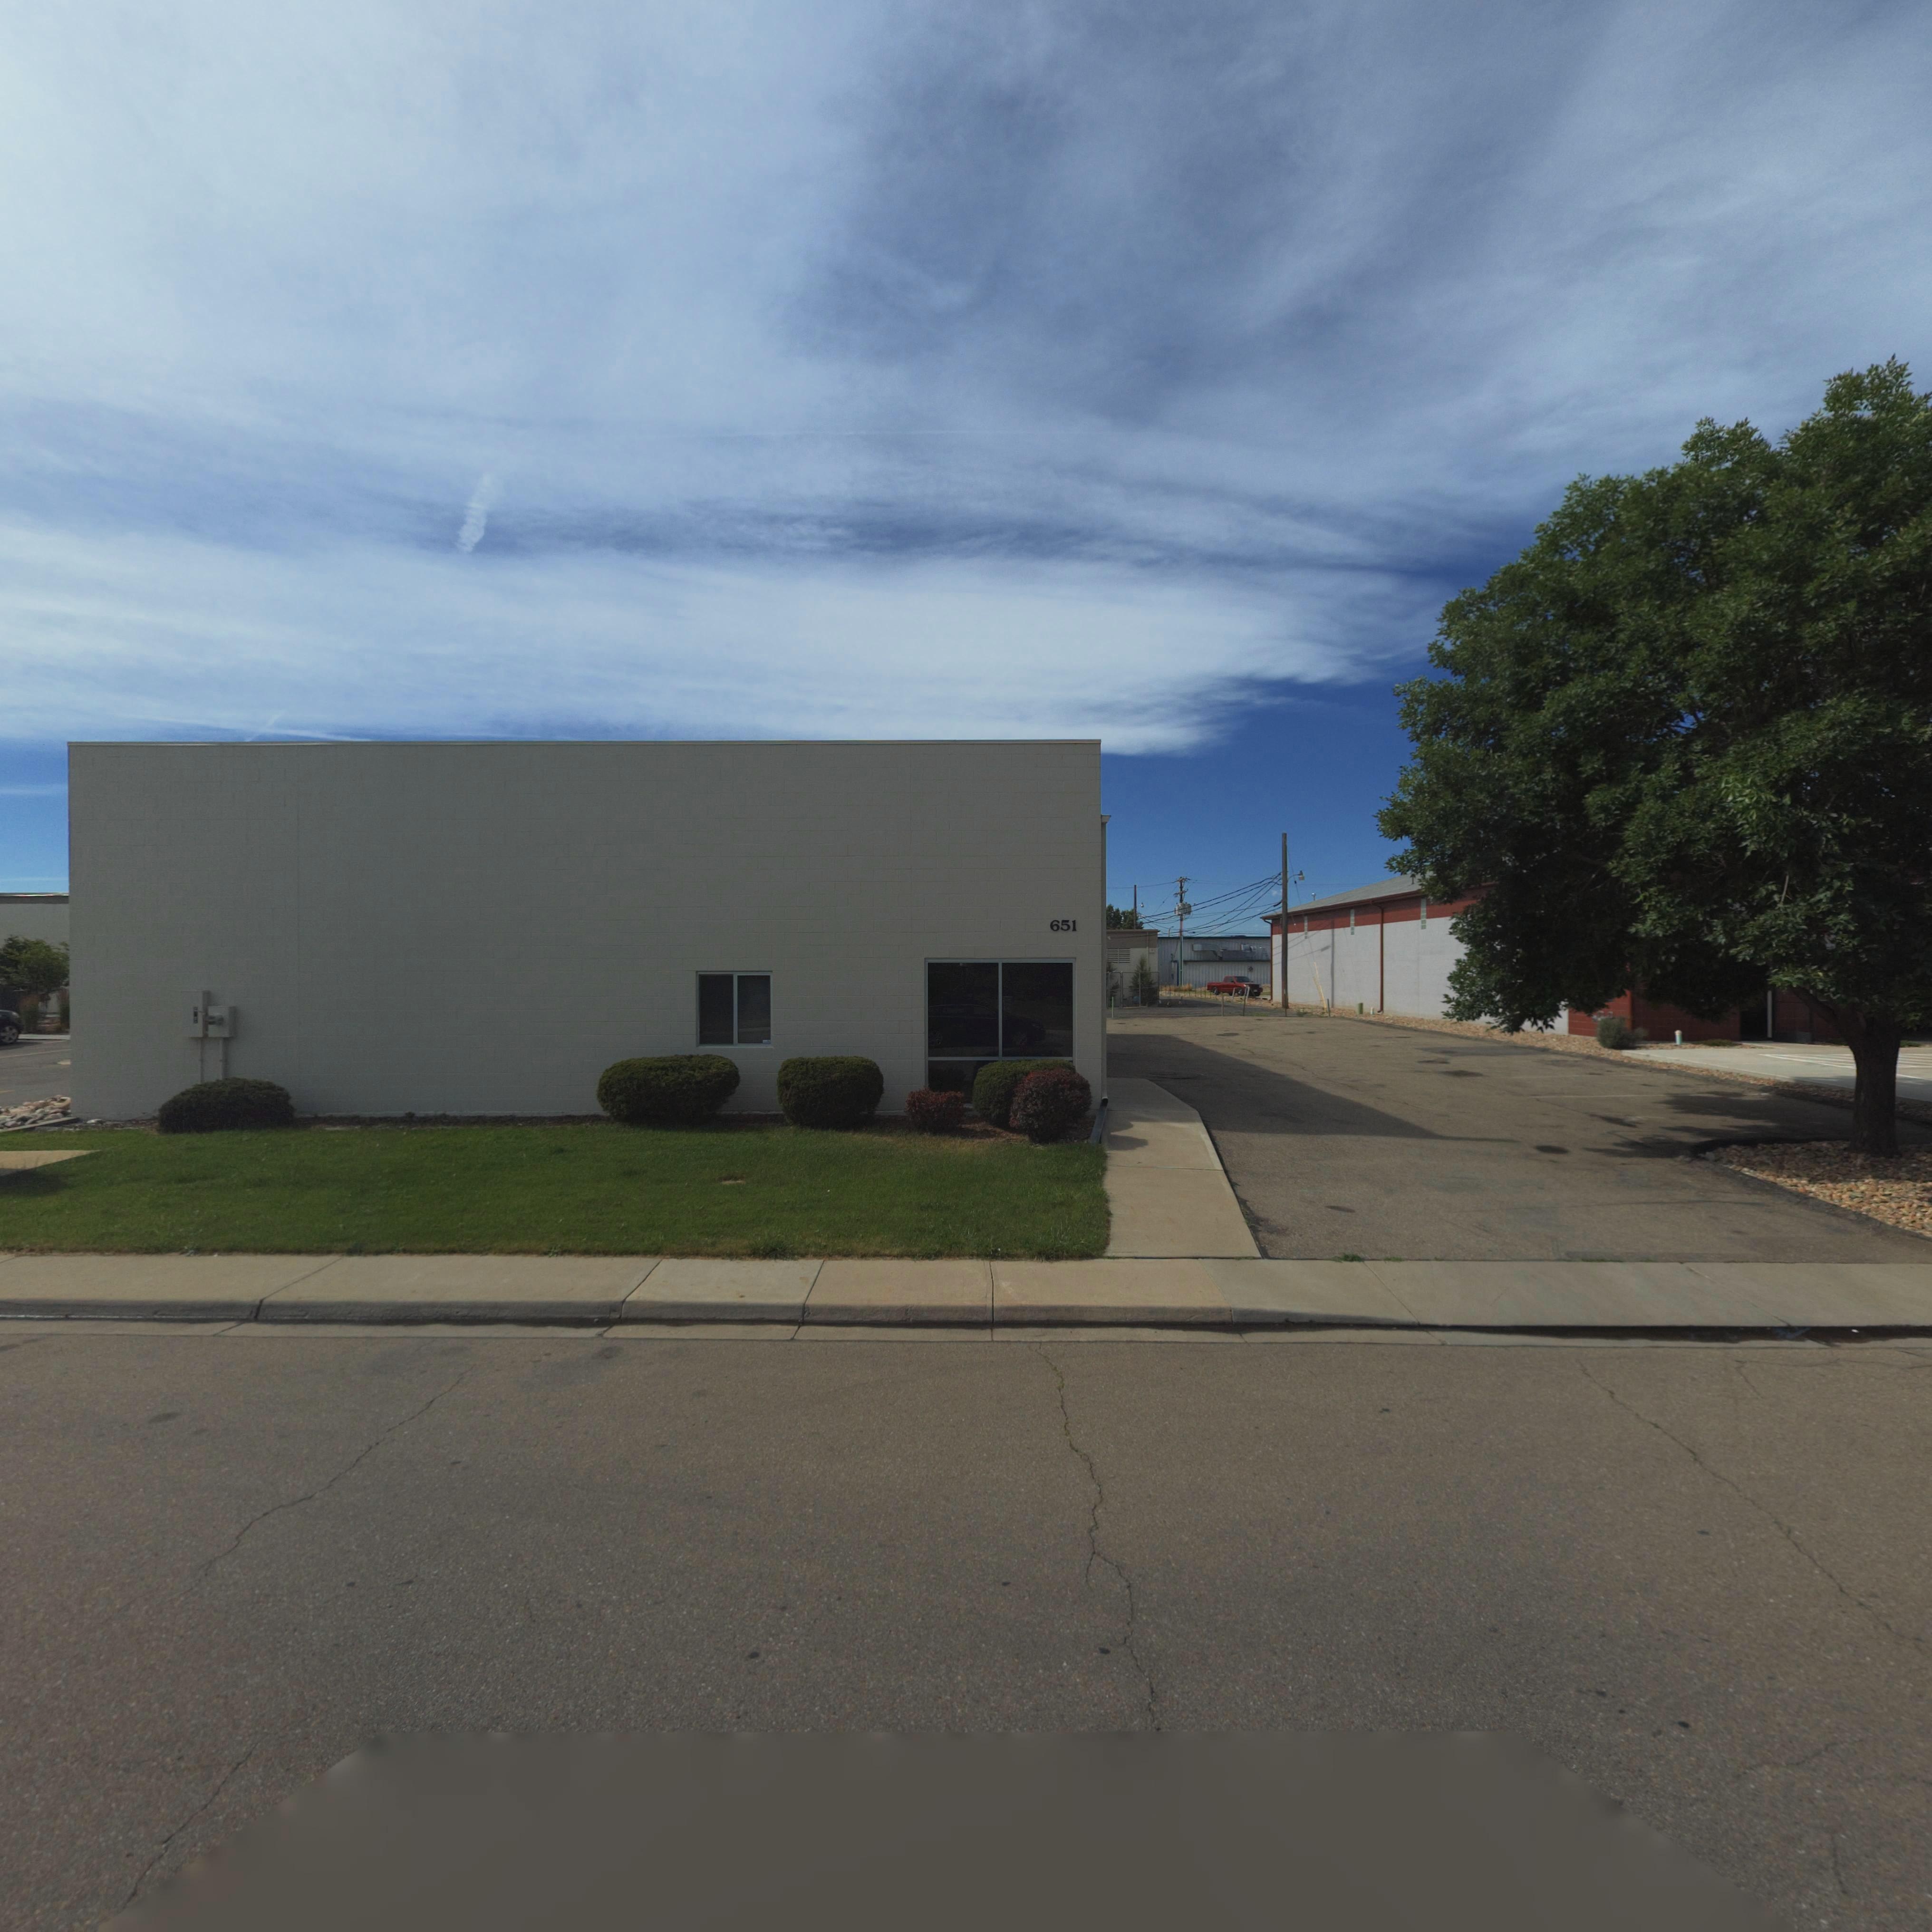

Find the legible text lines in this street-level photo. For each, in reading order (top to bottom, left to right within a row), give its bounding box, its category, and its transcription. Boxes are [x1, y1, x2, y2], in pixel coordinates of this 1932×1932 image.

[1050, 919, 1077, 931] StreetNumber: 651